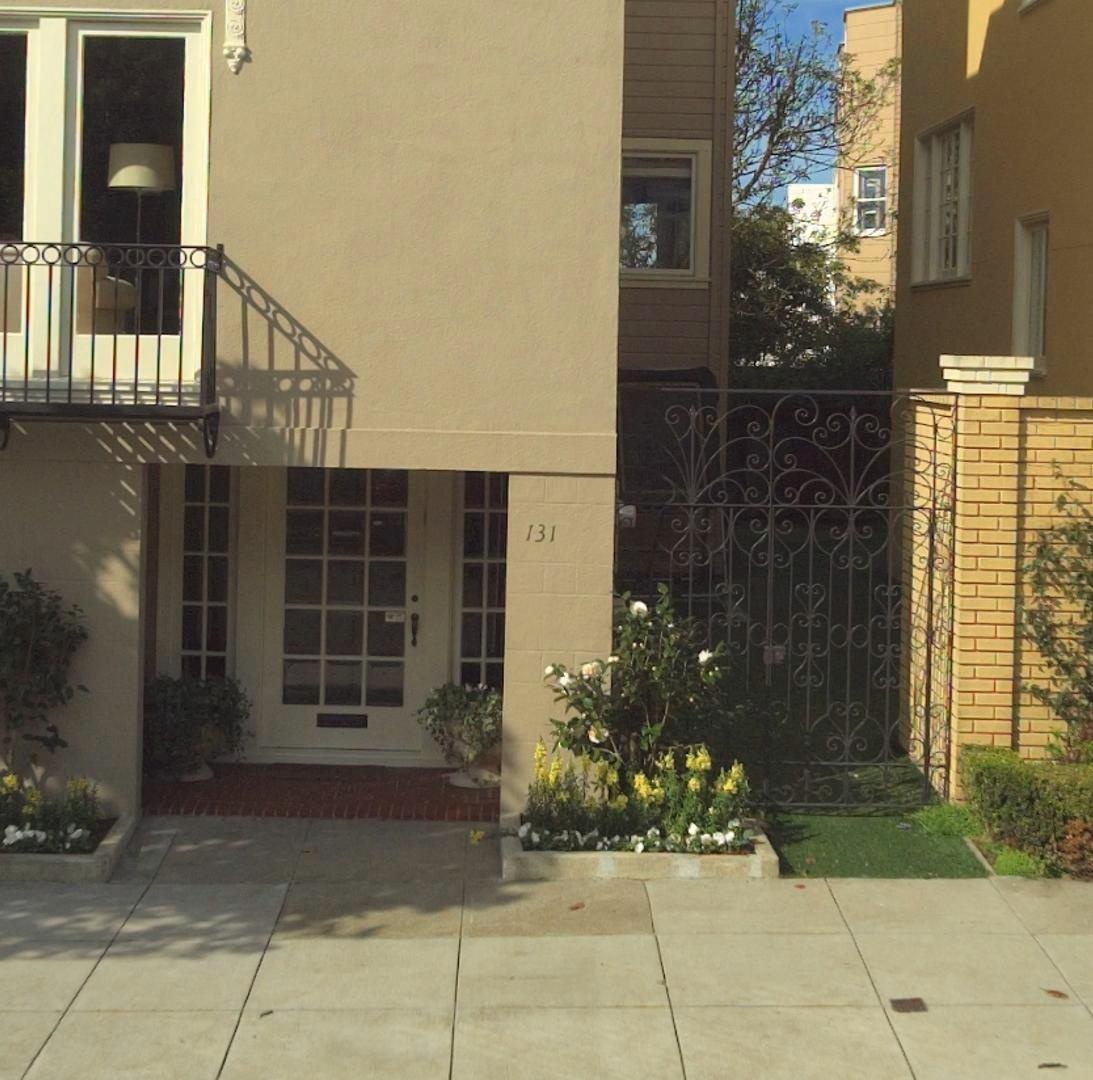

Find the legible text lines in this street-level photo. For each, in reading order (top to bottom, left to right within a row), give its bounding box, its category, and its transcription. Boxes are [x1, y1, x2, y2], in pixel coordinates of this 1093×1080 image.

[523, 520, 558, 545] StreetNumber: 131